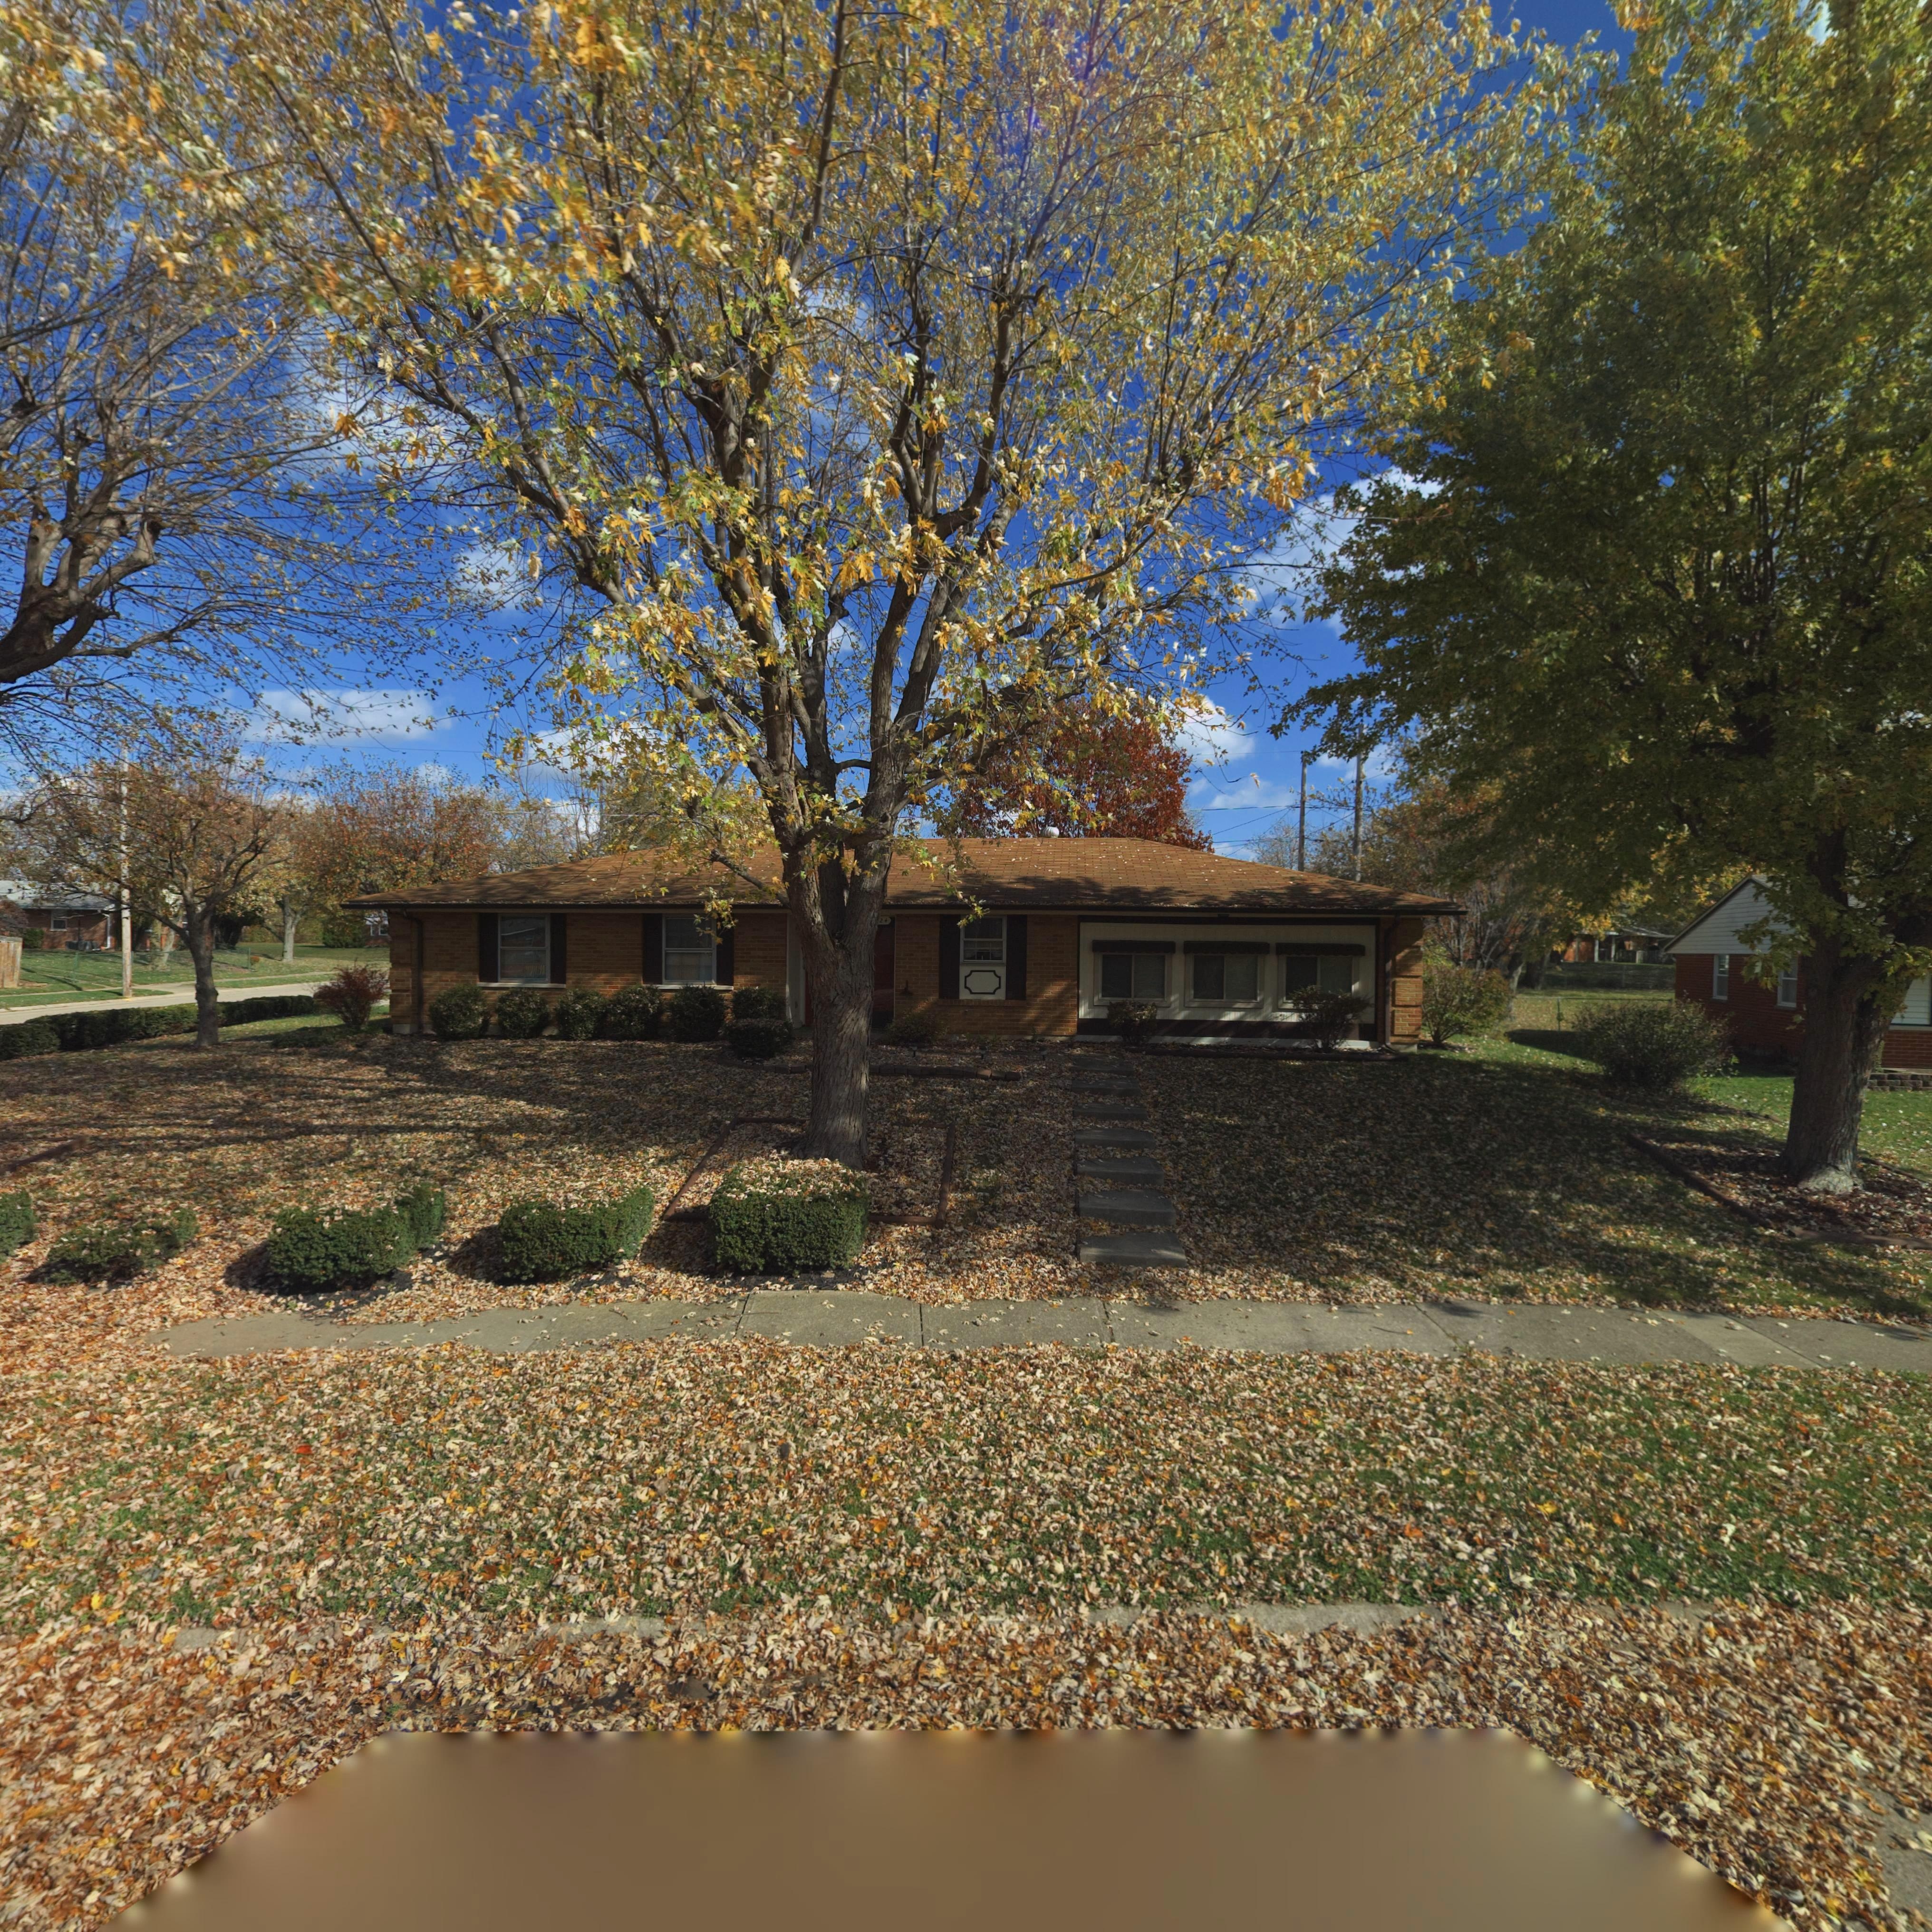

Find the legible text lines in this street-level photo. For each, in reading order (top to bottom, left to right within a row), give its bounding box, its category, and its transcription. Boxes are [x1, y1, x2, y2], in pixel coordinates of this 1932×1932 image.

[878, 917, 889, 924] StreetNumber: 24